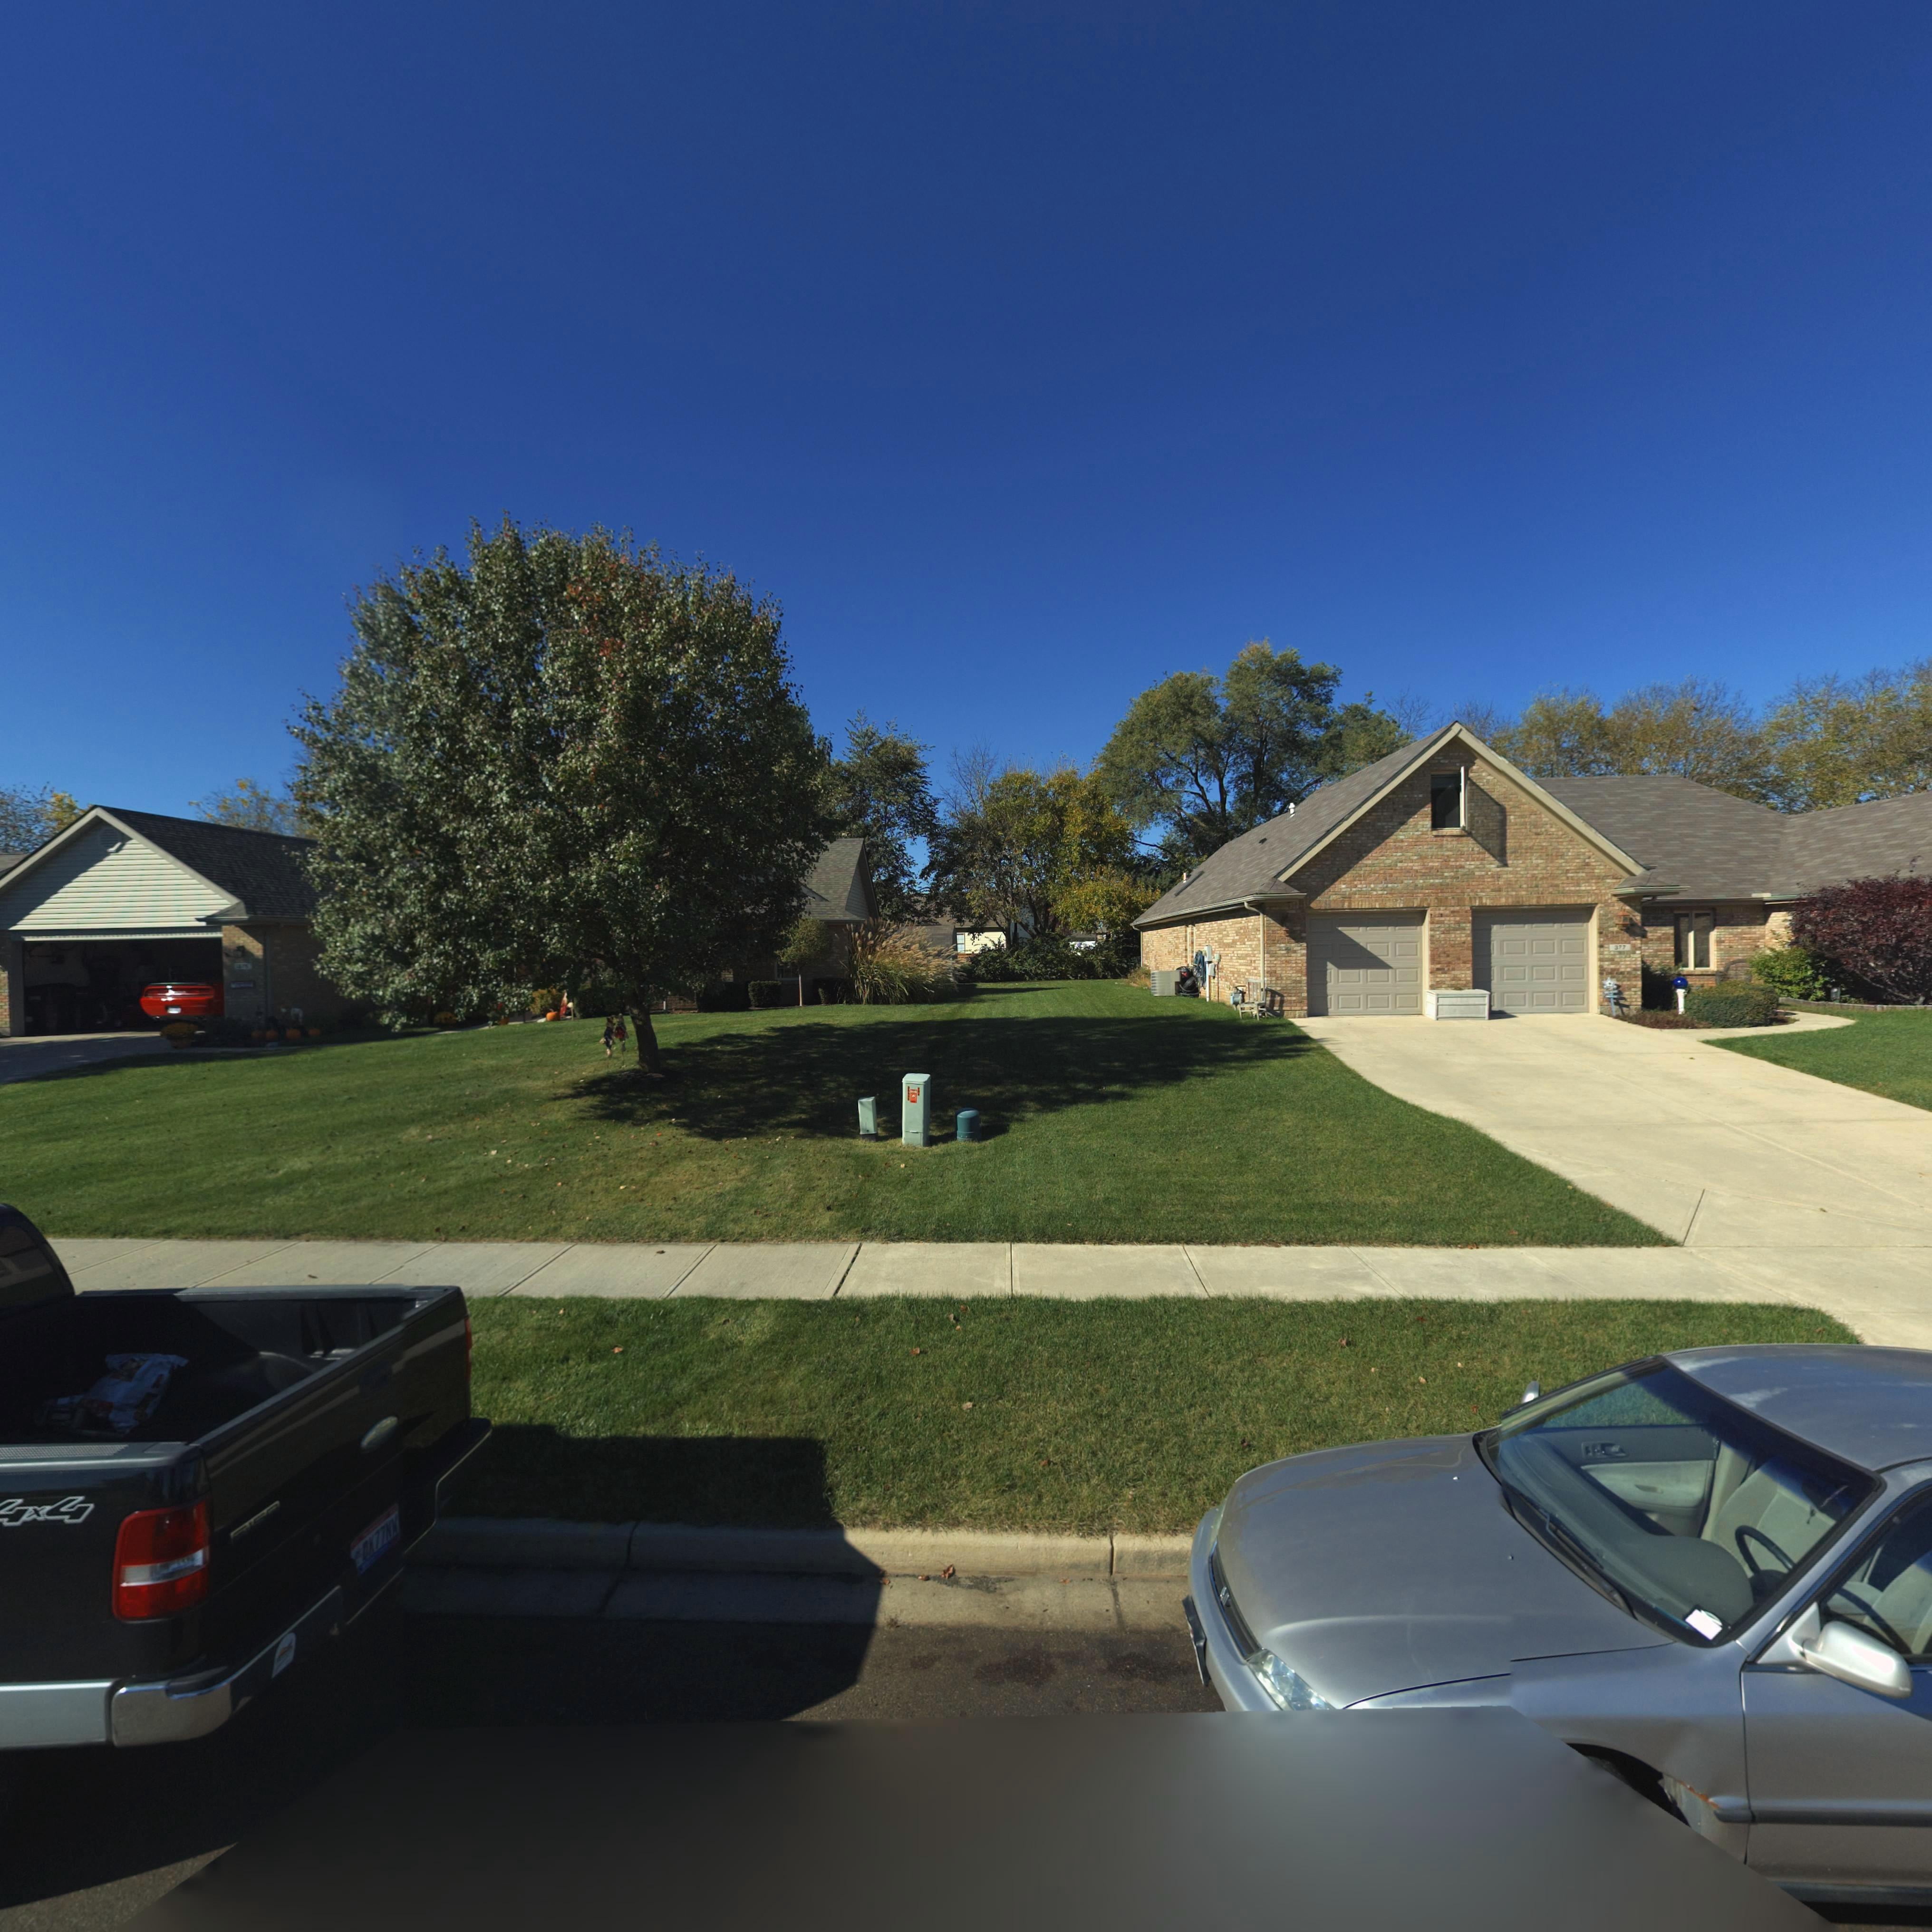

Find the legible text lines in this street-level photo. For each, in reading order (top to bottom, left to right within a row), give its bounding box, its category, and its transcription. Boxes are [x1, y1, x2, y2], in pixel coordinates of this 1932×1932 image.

[1614, 945, 1626, 950] StreetNumber: 377
[236, 963, 248, 969] StreetNumber: 375